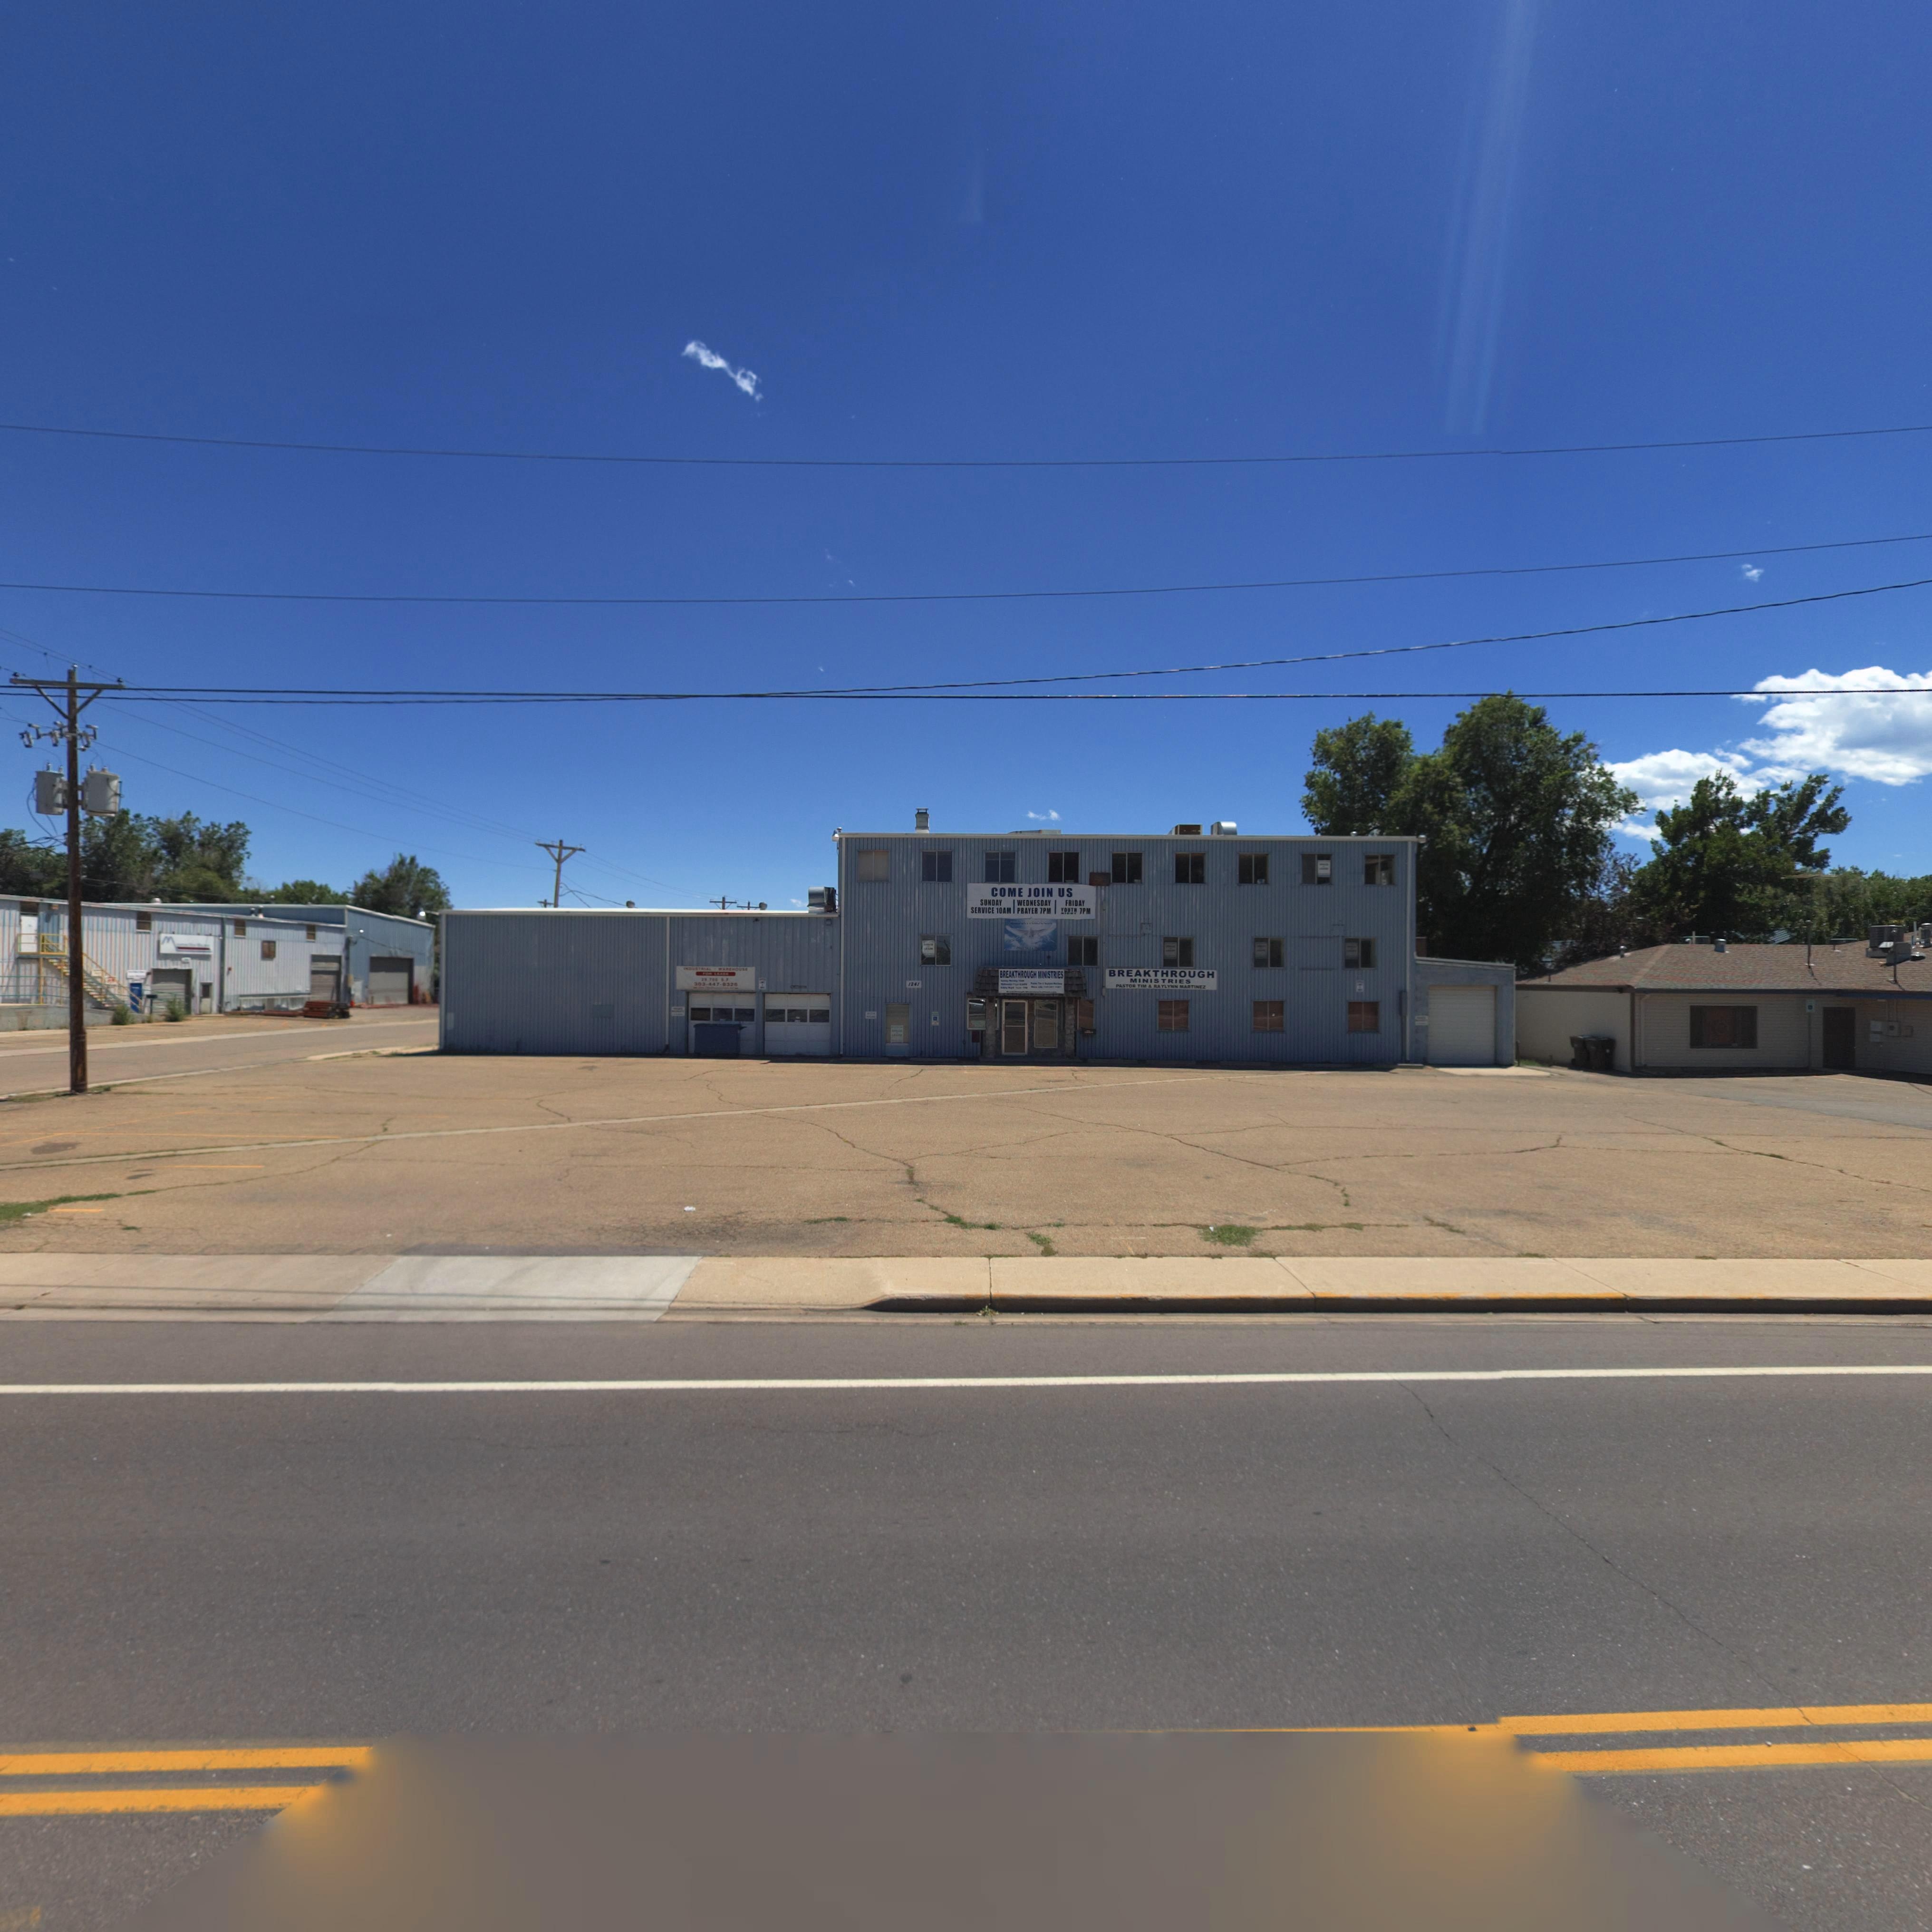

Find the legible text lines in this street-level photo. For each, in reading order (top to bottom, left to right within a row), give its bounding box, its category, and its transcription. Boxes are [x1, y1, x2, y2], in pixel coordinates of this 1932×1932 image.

[161, 935, 176, 946] BusinessName: M
[1000, 970, 1063, 978] BusinessName: BREAKTHROUGH MINISTRIES
[1108, 969, 1214, 978] BusinessName: BREAKTHROUGH
[908, 981, 920, 986] StreetNumber: 124*
[1130, 978, 1190, 984] BusinessName: MINISTRIES